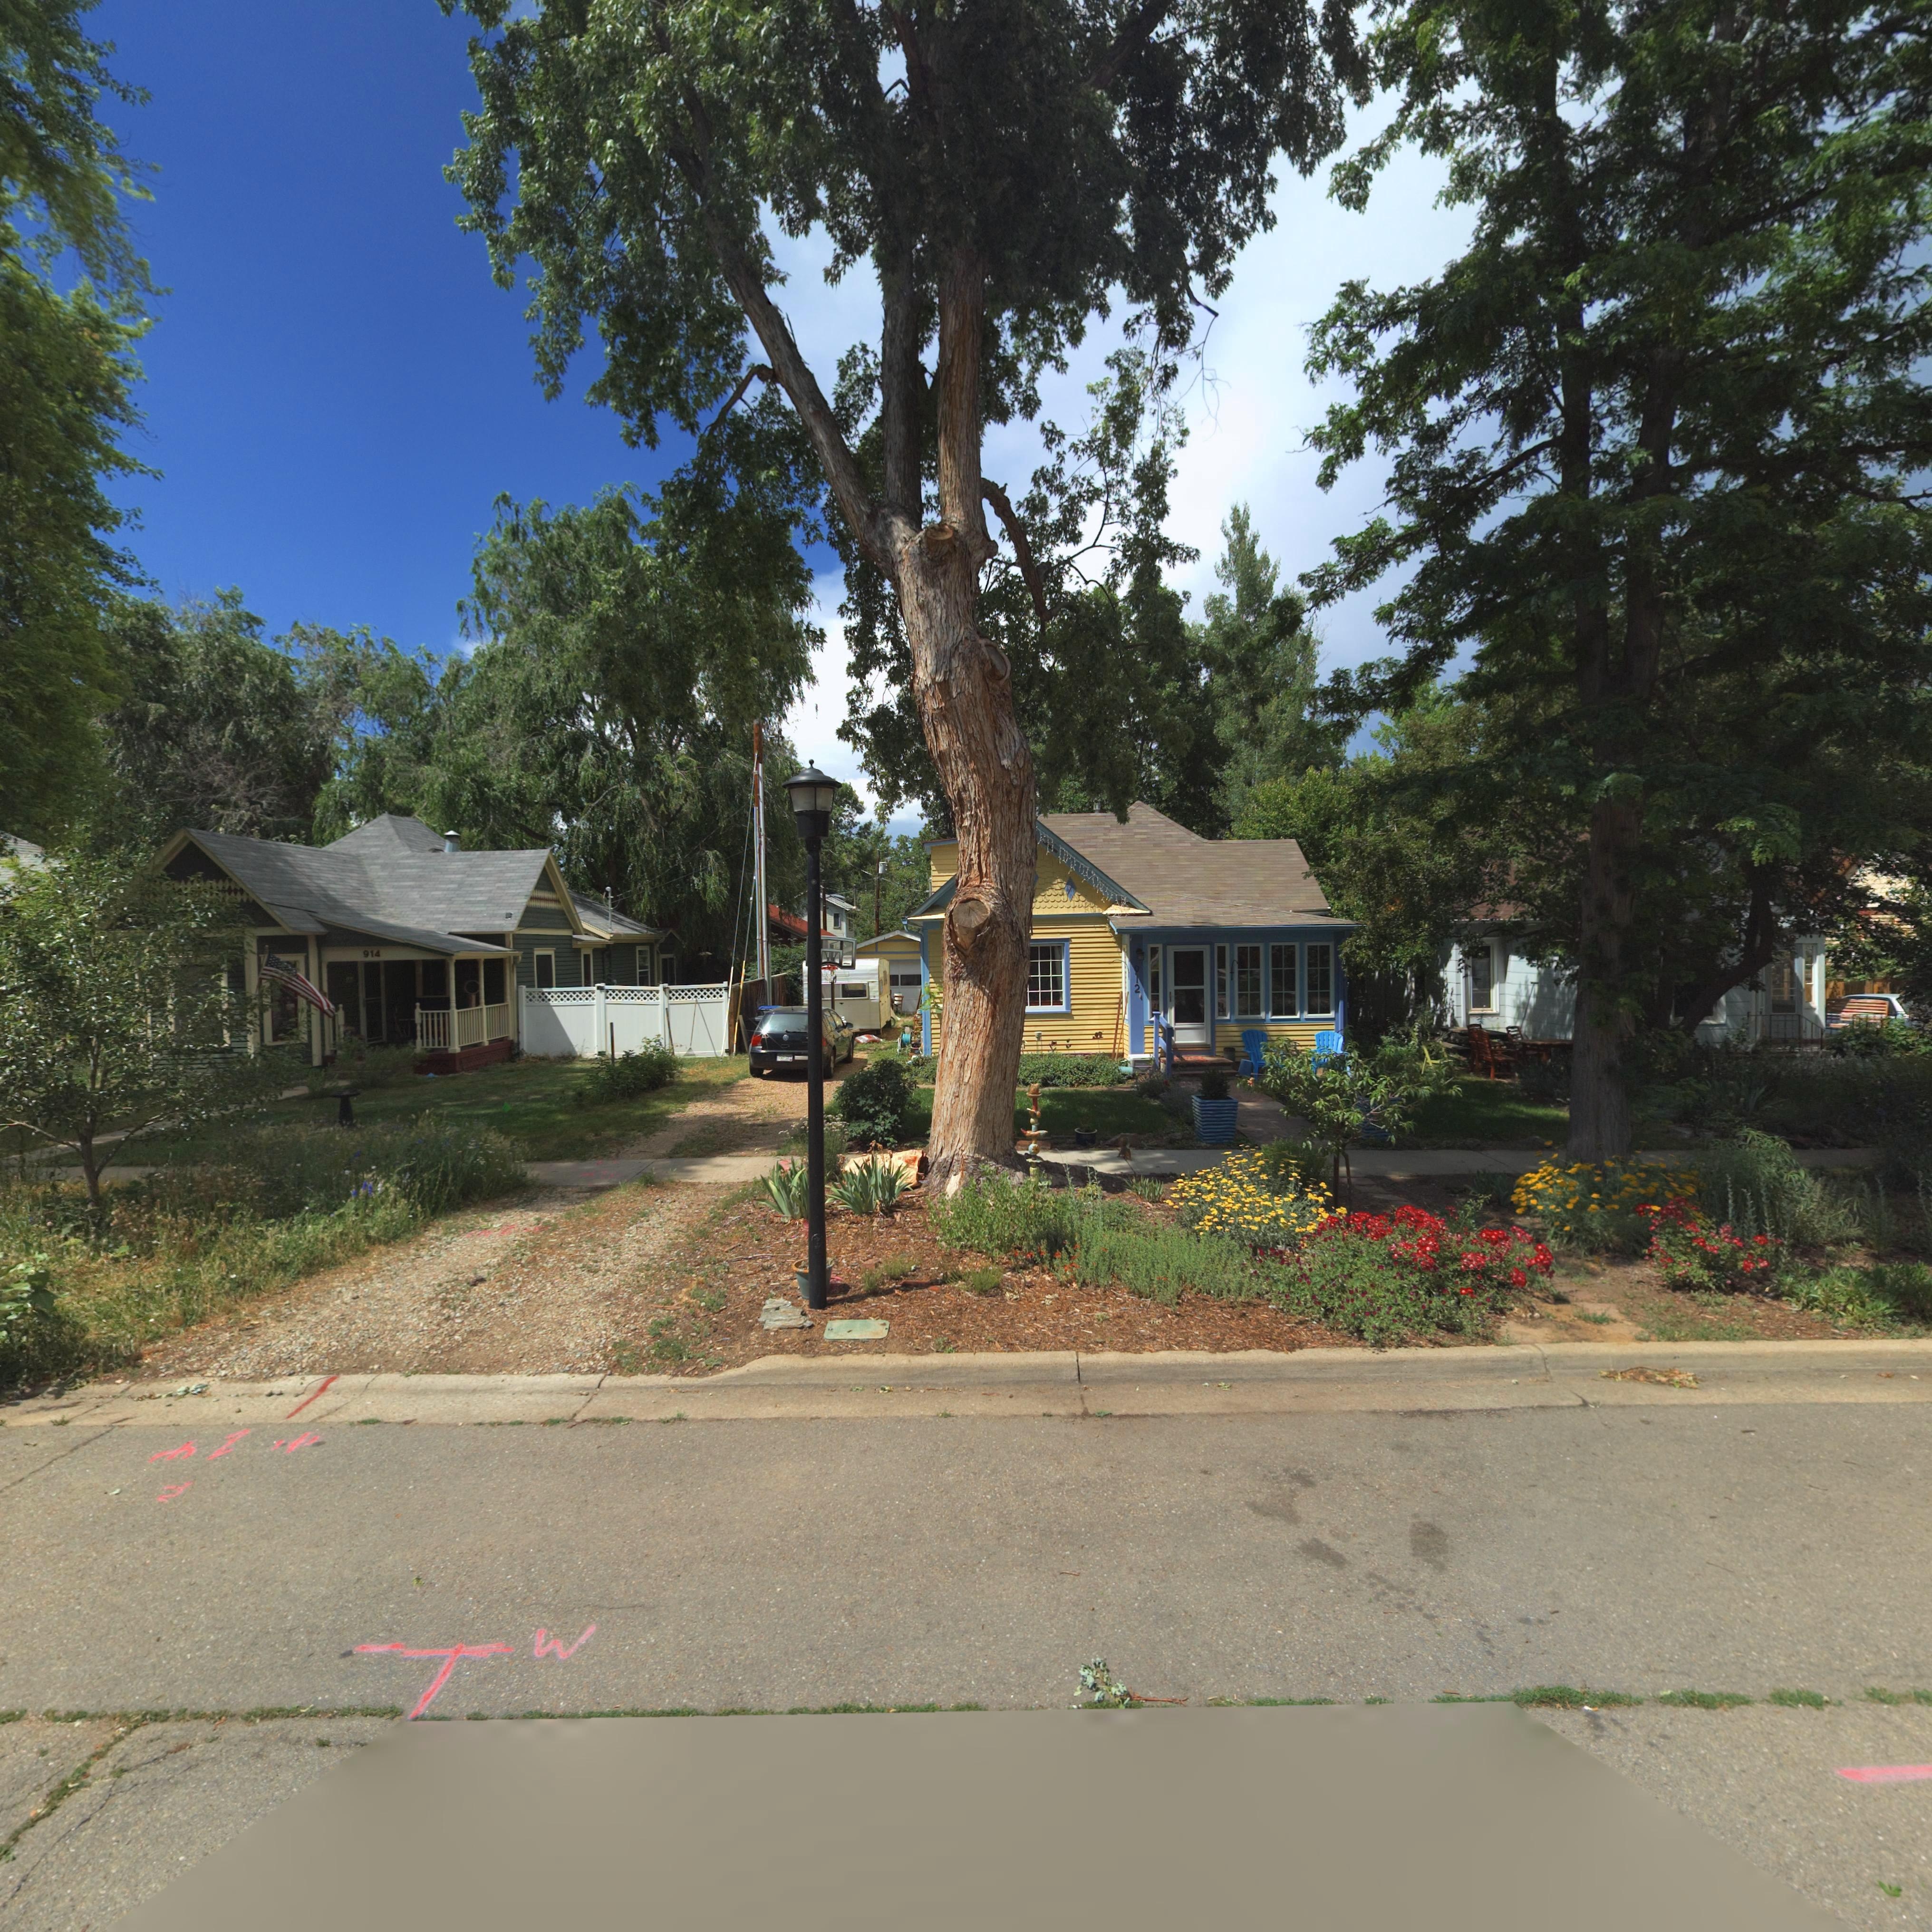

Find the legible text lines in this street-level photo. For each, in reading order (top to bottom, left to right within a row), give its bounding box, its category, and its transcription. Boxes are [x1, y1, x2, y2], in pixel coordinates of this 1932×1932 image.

[363, 949, 380, 958] StreetNumber: 914
[1133, 965, 1140, 993] StreetNumber: 912